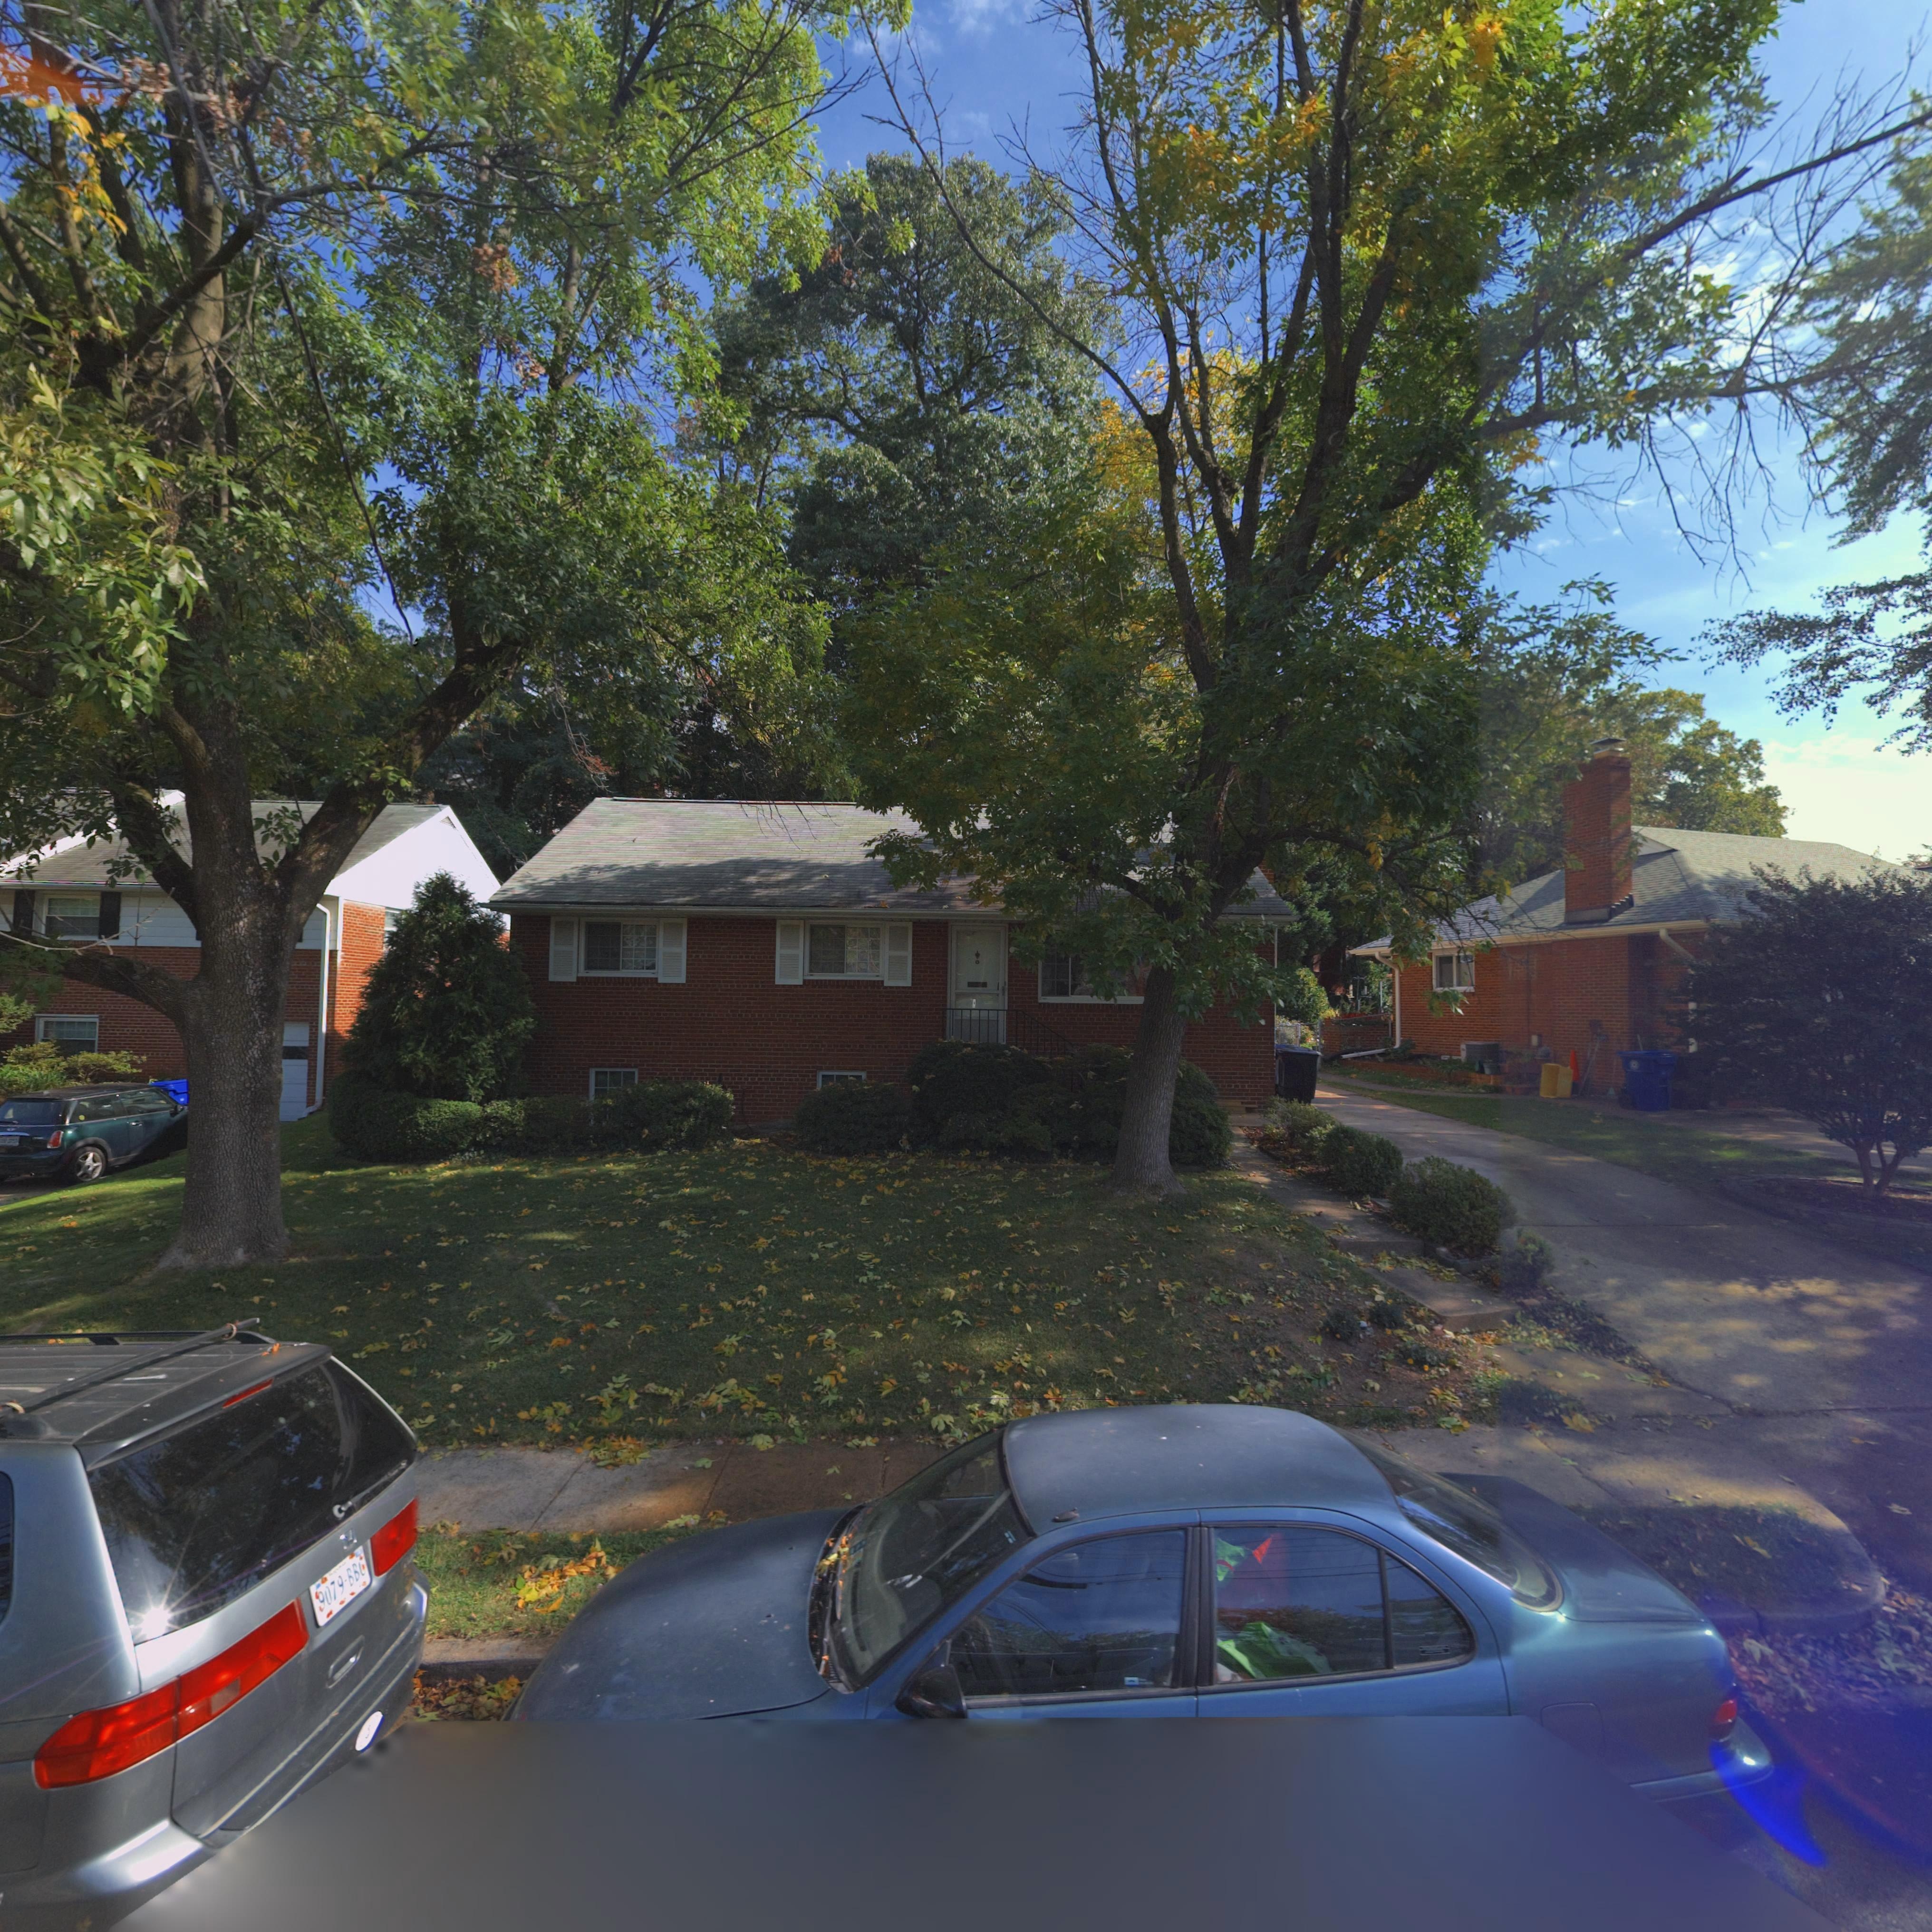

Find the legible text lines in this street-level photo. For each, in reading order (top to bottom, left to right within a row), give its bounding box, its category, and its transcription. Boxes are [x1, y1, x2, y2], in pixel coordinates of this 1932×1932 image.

[315, 1560, 363, 1613] None: 9079-BB